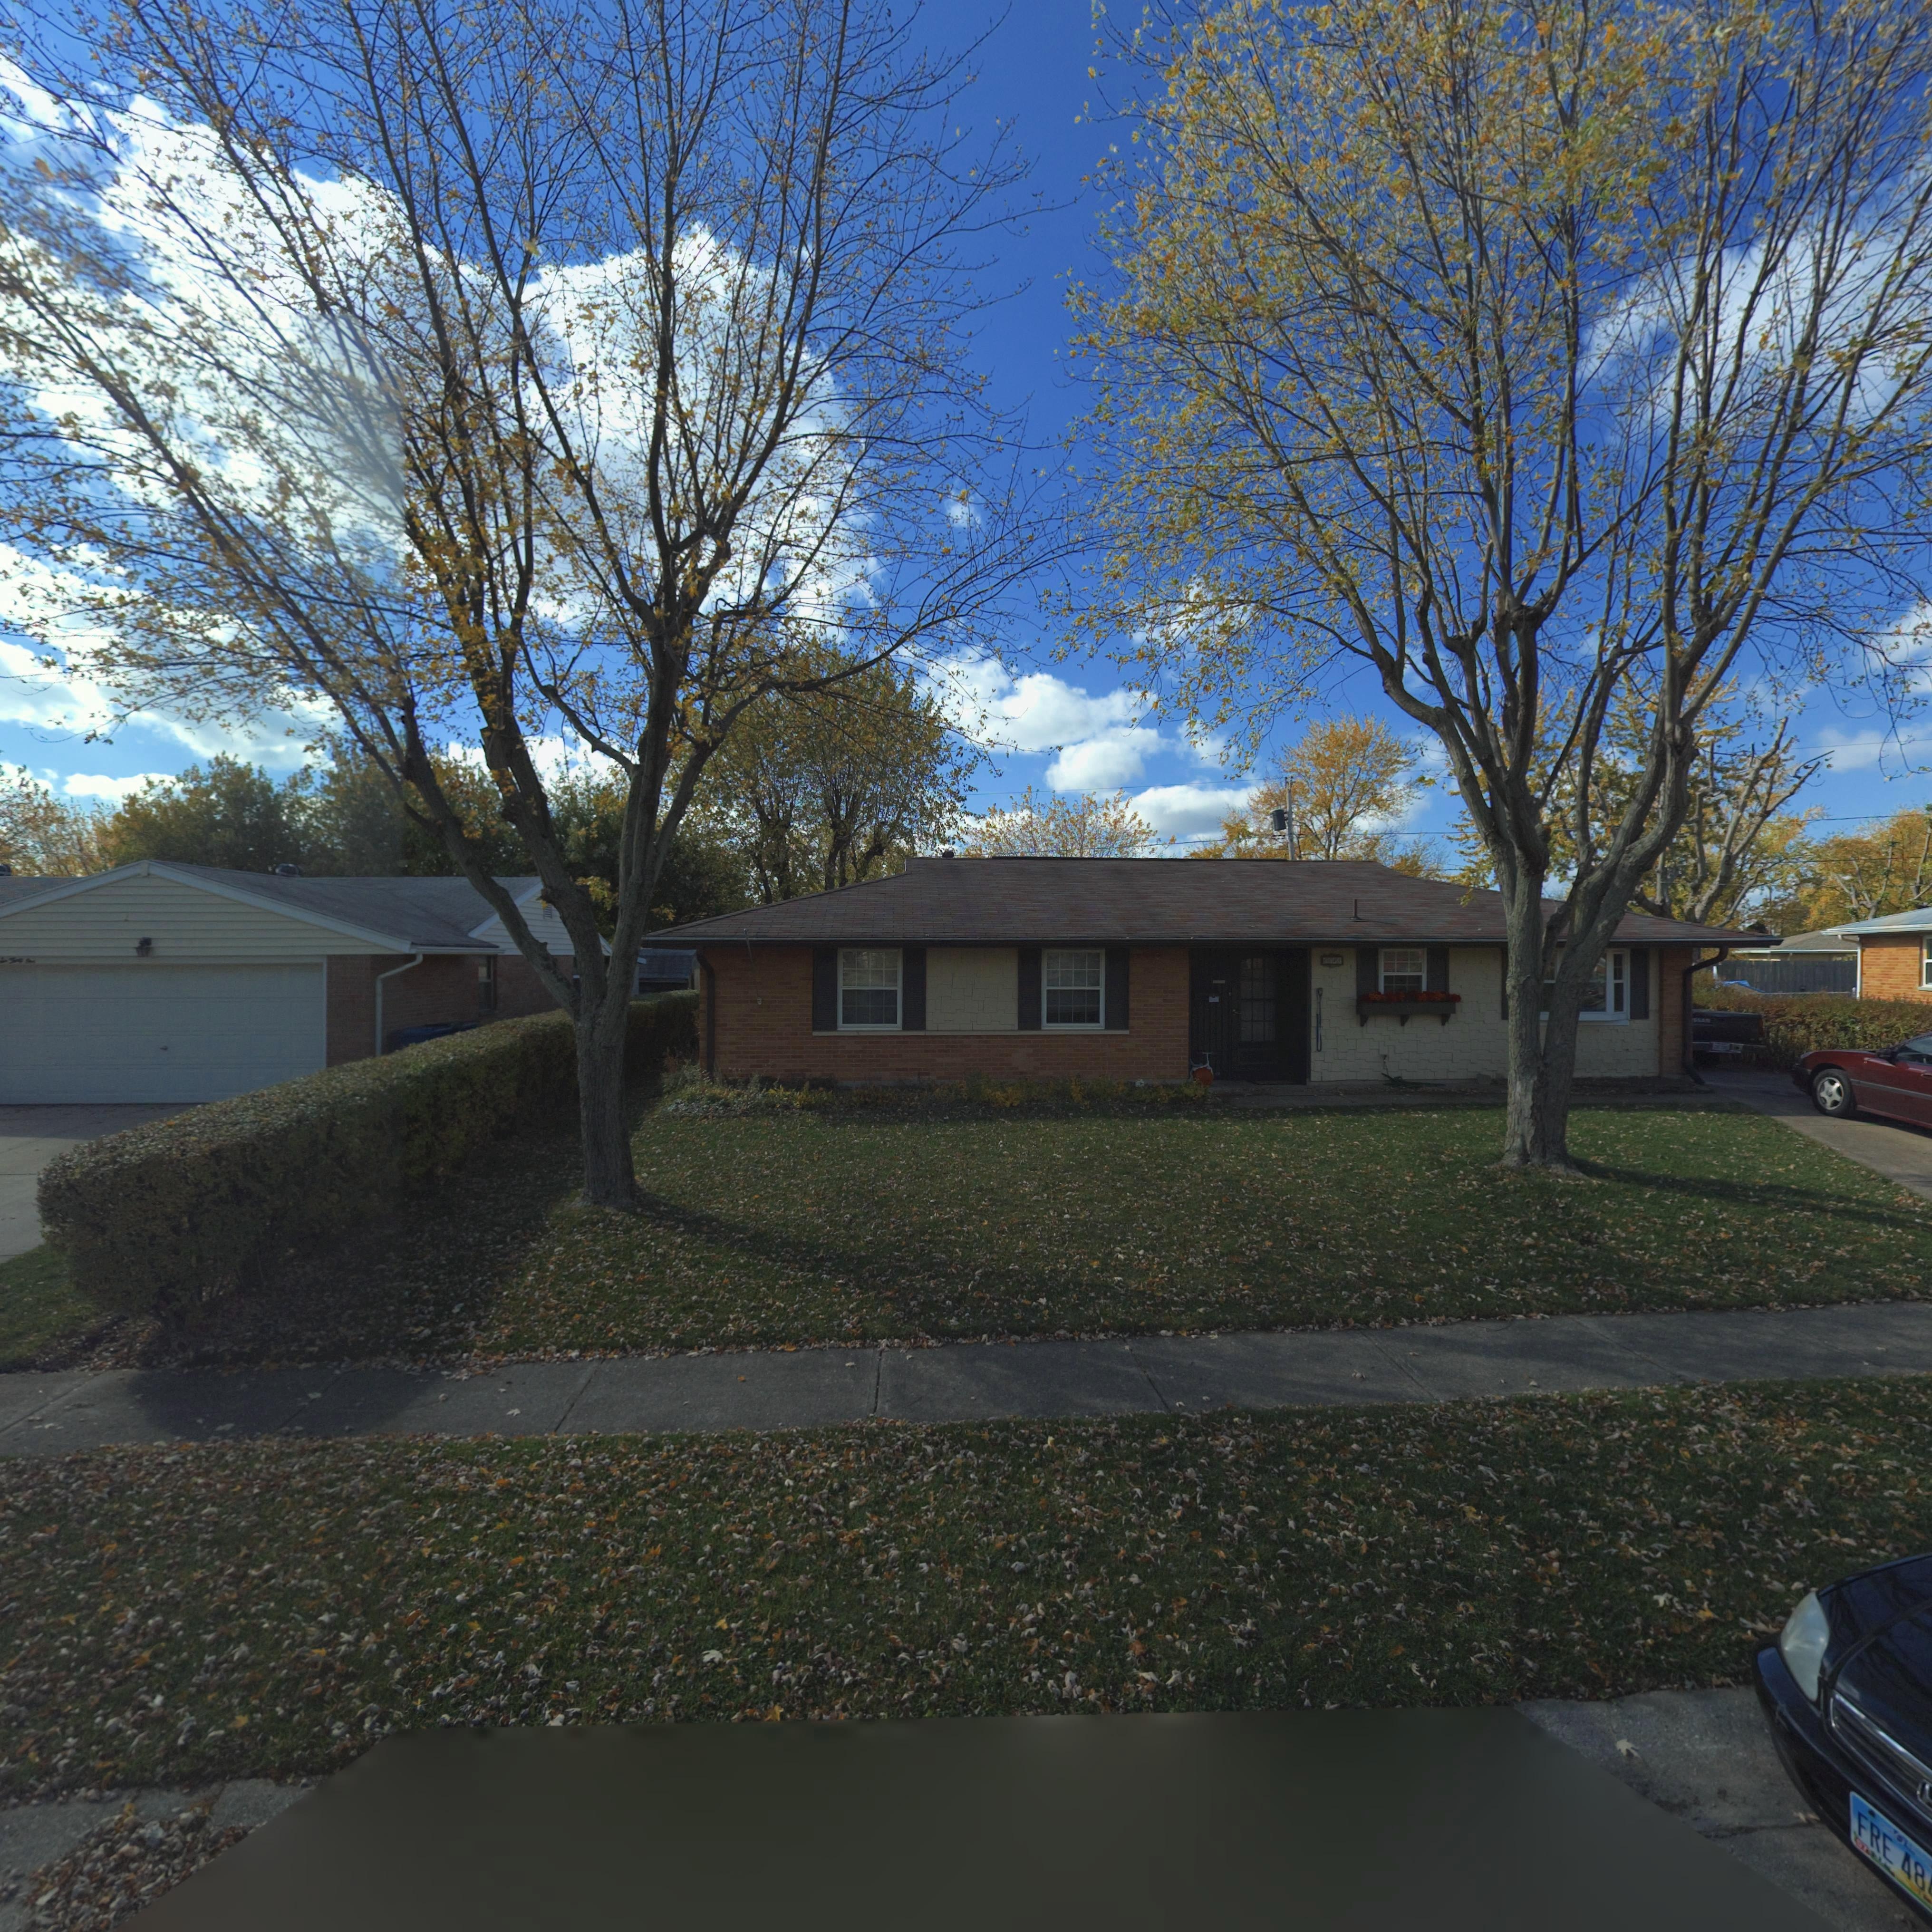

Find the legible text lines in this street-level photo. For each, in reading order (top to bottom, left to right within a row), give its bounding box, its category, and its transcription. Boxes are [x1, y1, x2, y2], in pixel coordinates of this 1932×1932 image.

[1323, 957, 1341, 964] StreetNumber: 6641